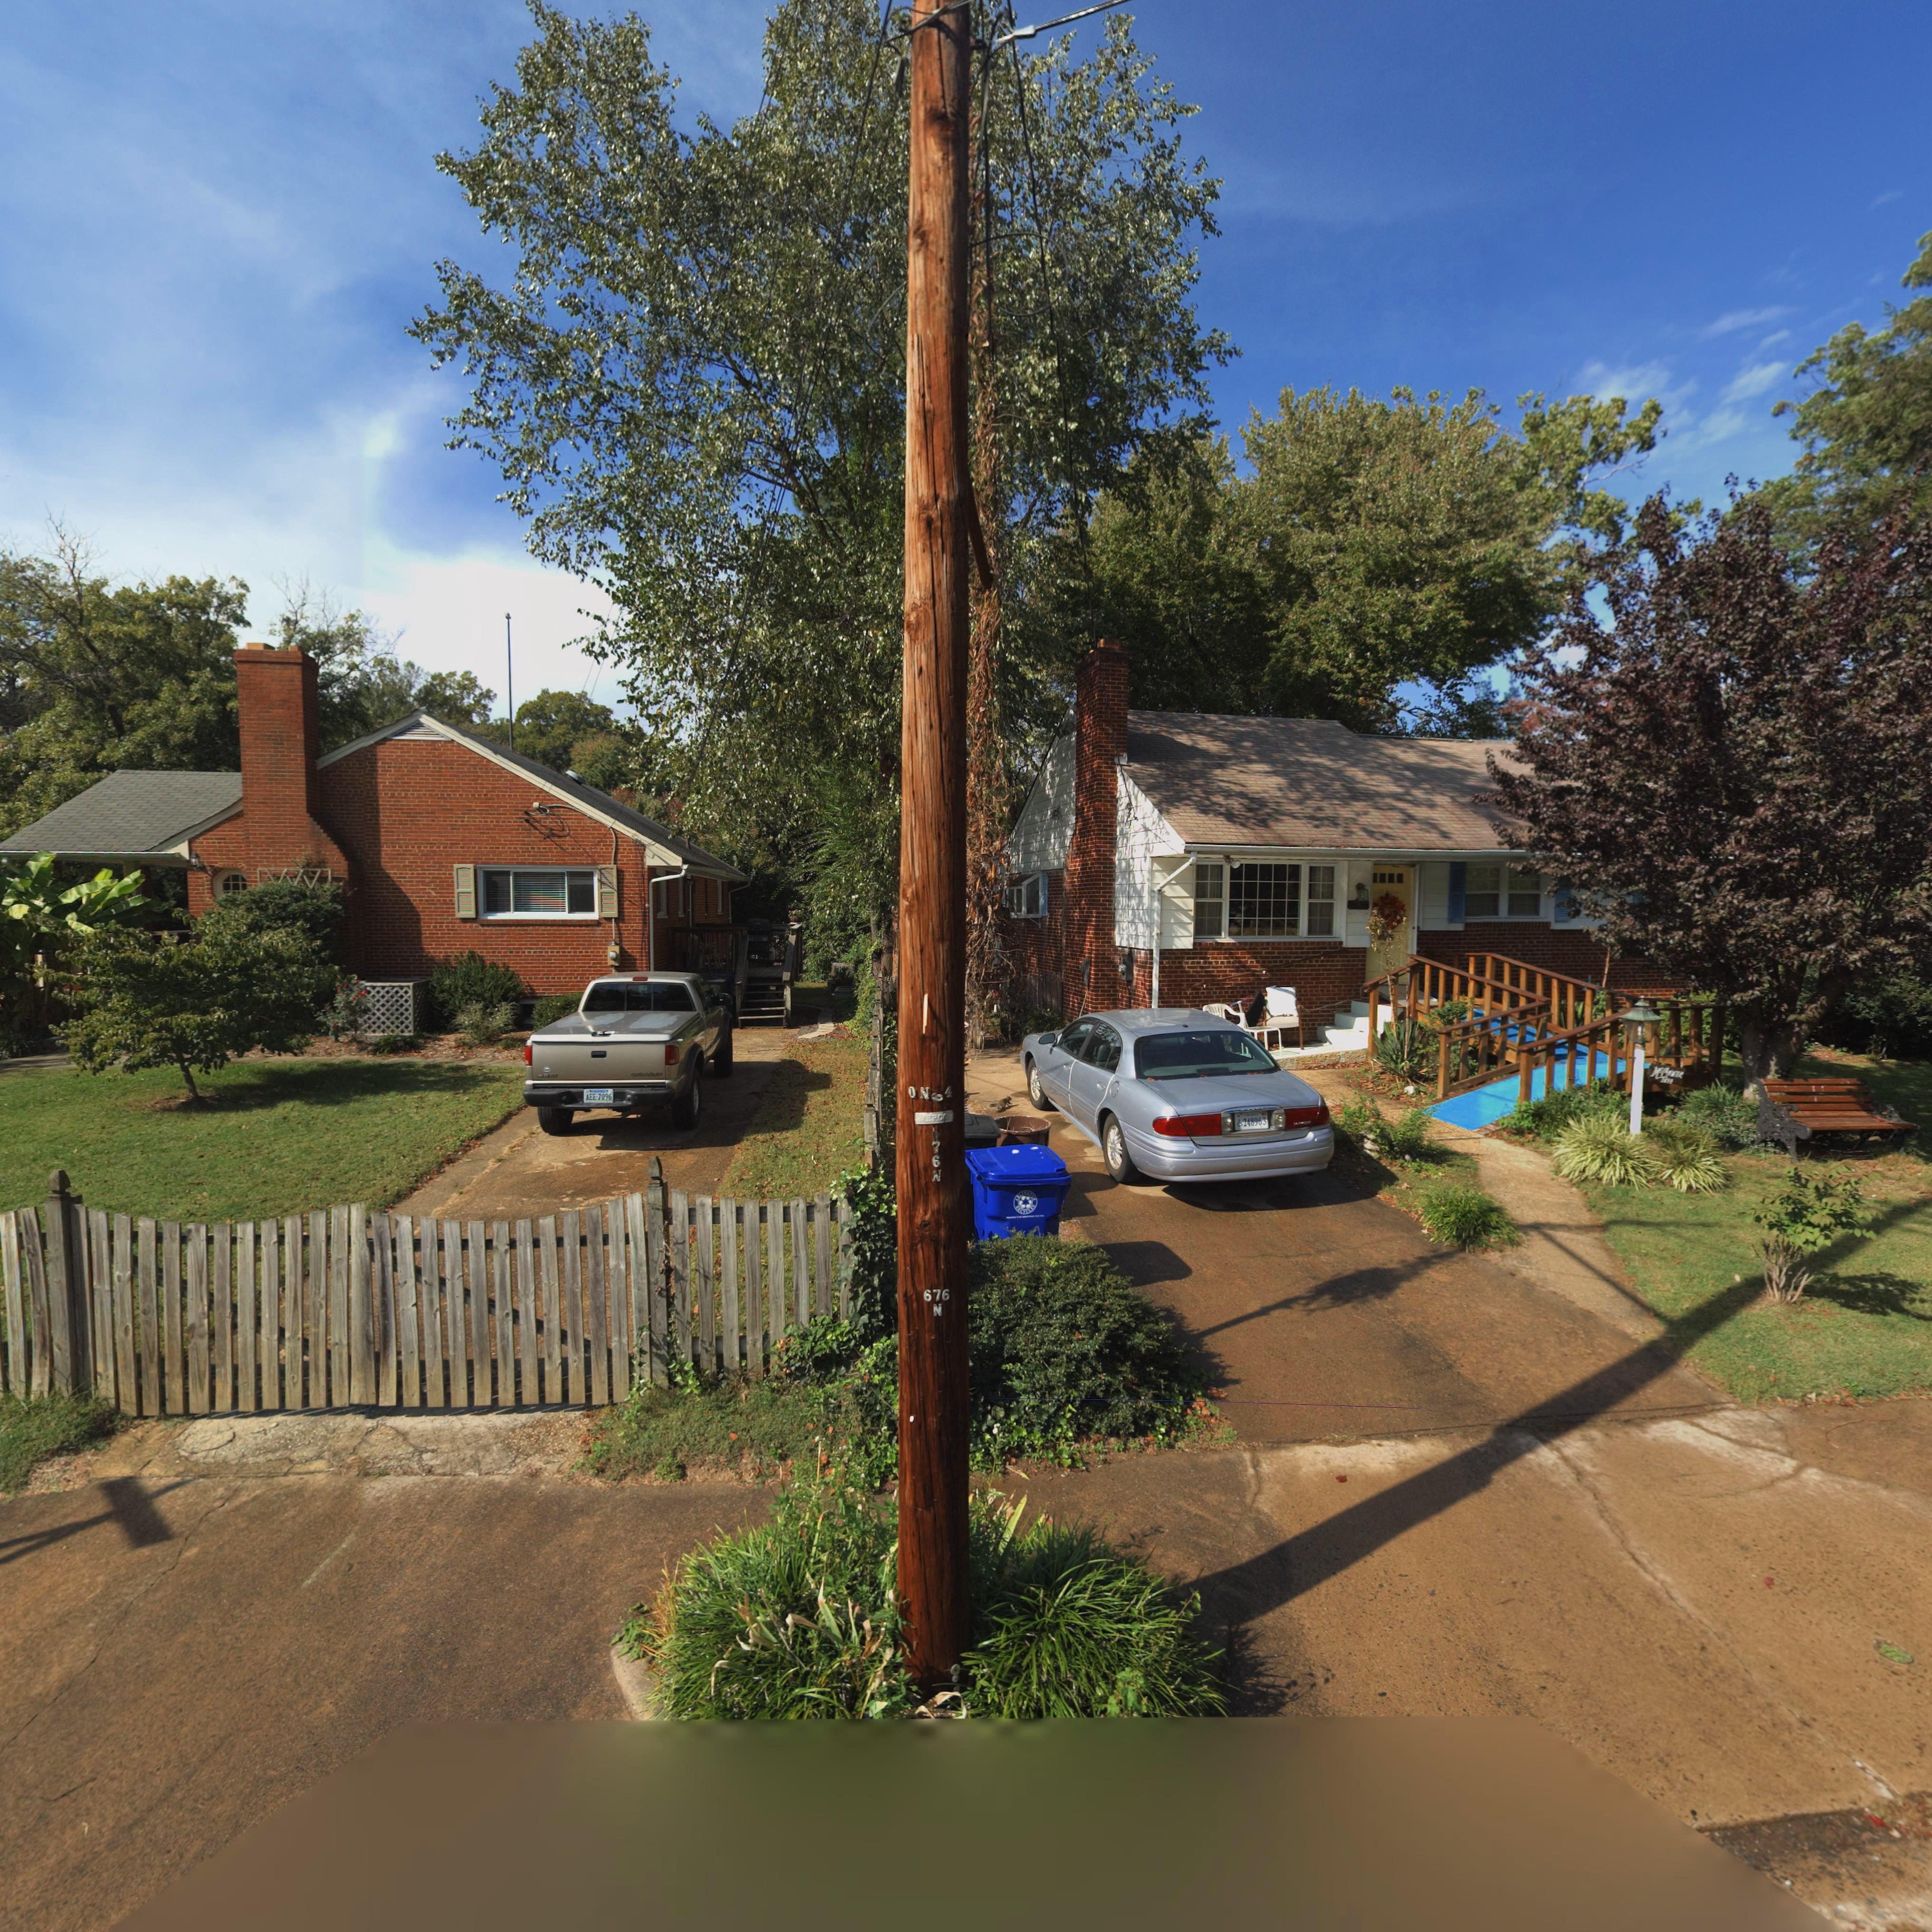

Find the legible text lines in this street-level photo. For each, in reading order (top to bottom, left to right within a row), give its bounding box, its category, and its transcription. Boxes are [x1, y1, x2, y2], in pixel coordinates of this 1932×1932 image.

[629, 1072, 663, 1077] None: CHEVROLET
[585, 1092, 613, 1101] None: AEE-7096
[907, 1084, 954, 1103] None: 0N*4
[1242, 1112, 1258, 1115] None: VIRGINIA
[1243, 1117, 1267, 1127] None: 248963
[930, 1140, 942, 1183] None: 76N
[922, 1287, 950, 1303] None: 676
[932, 1302, 943, 1318] None: N